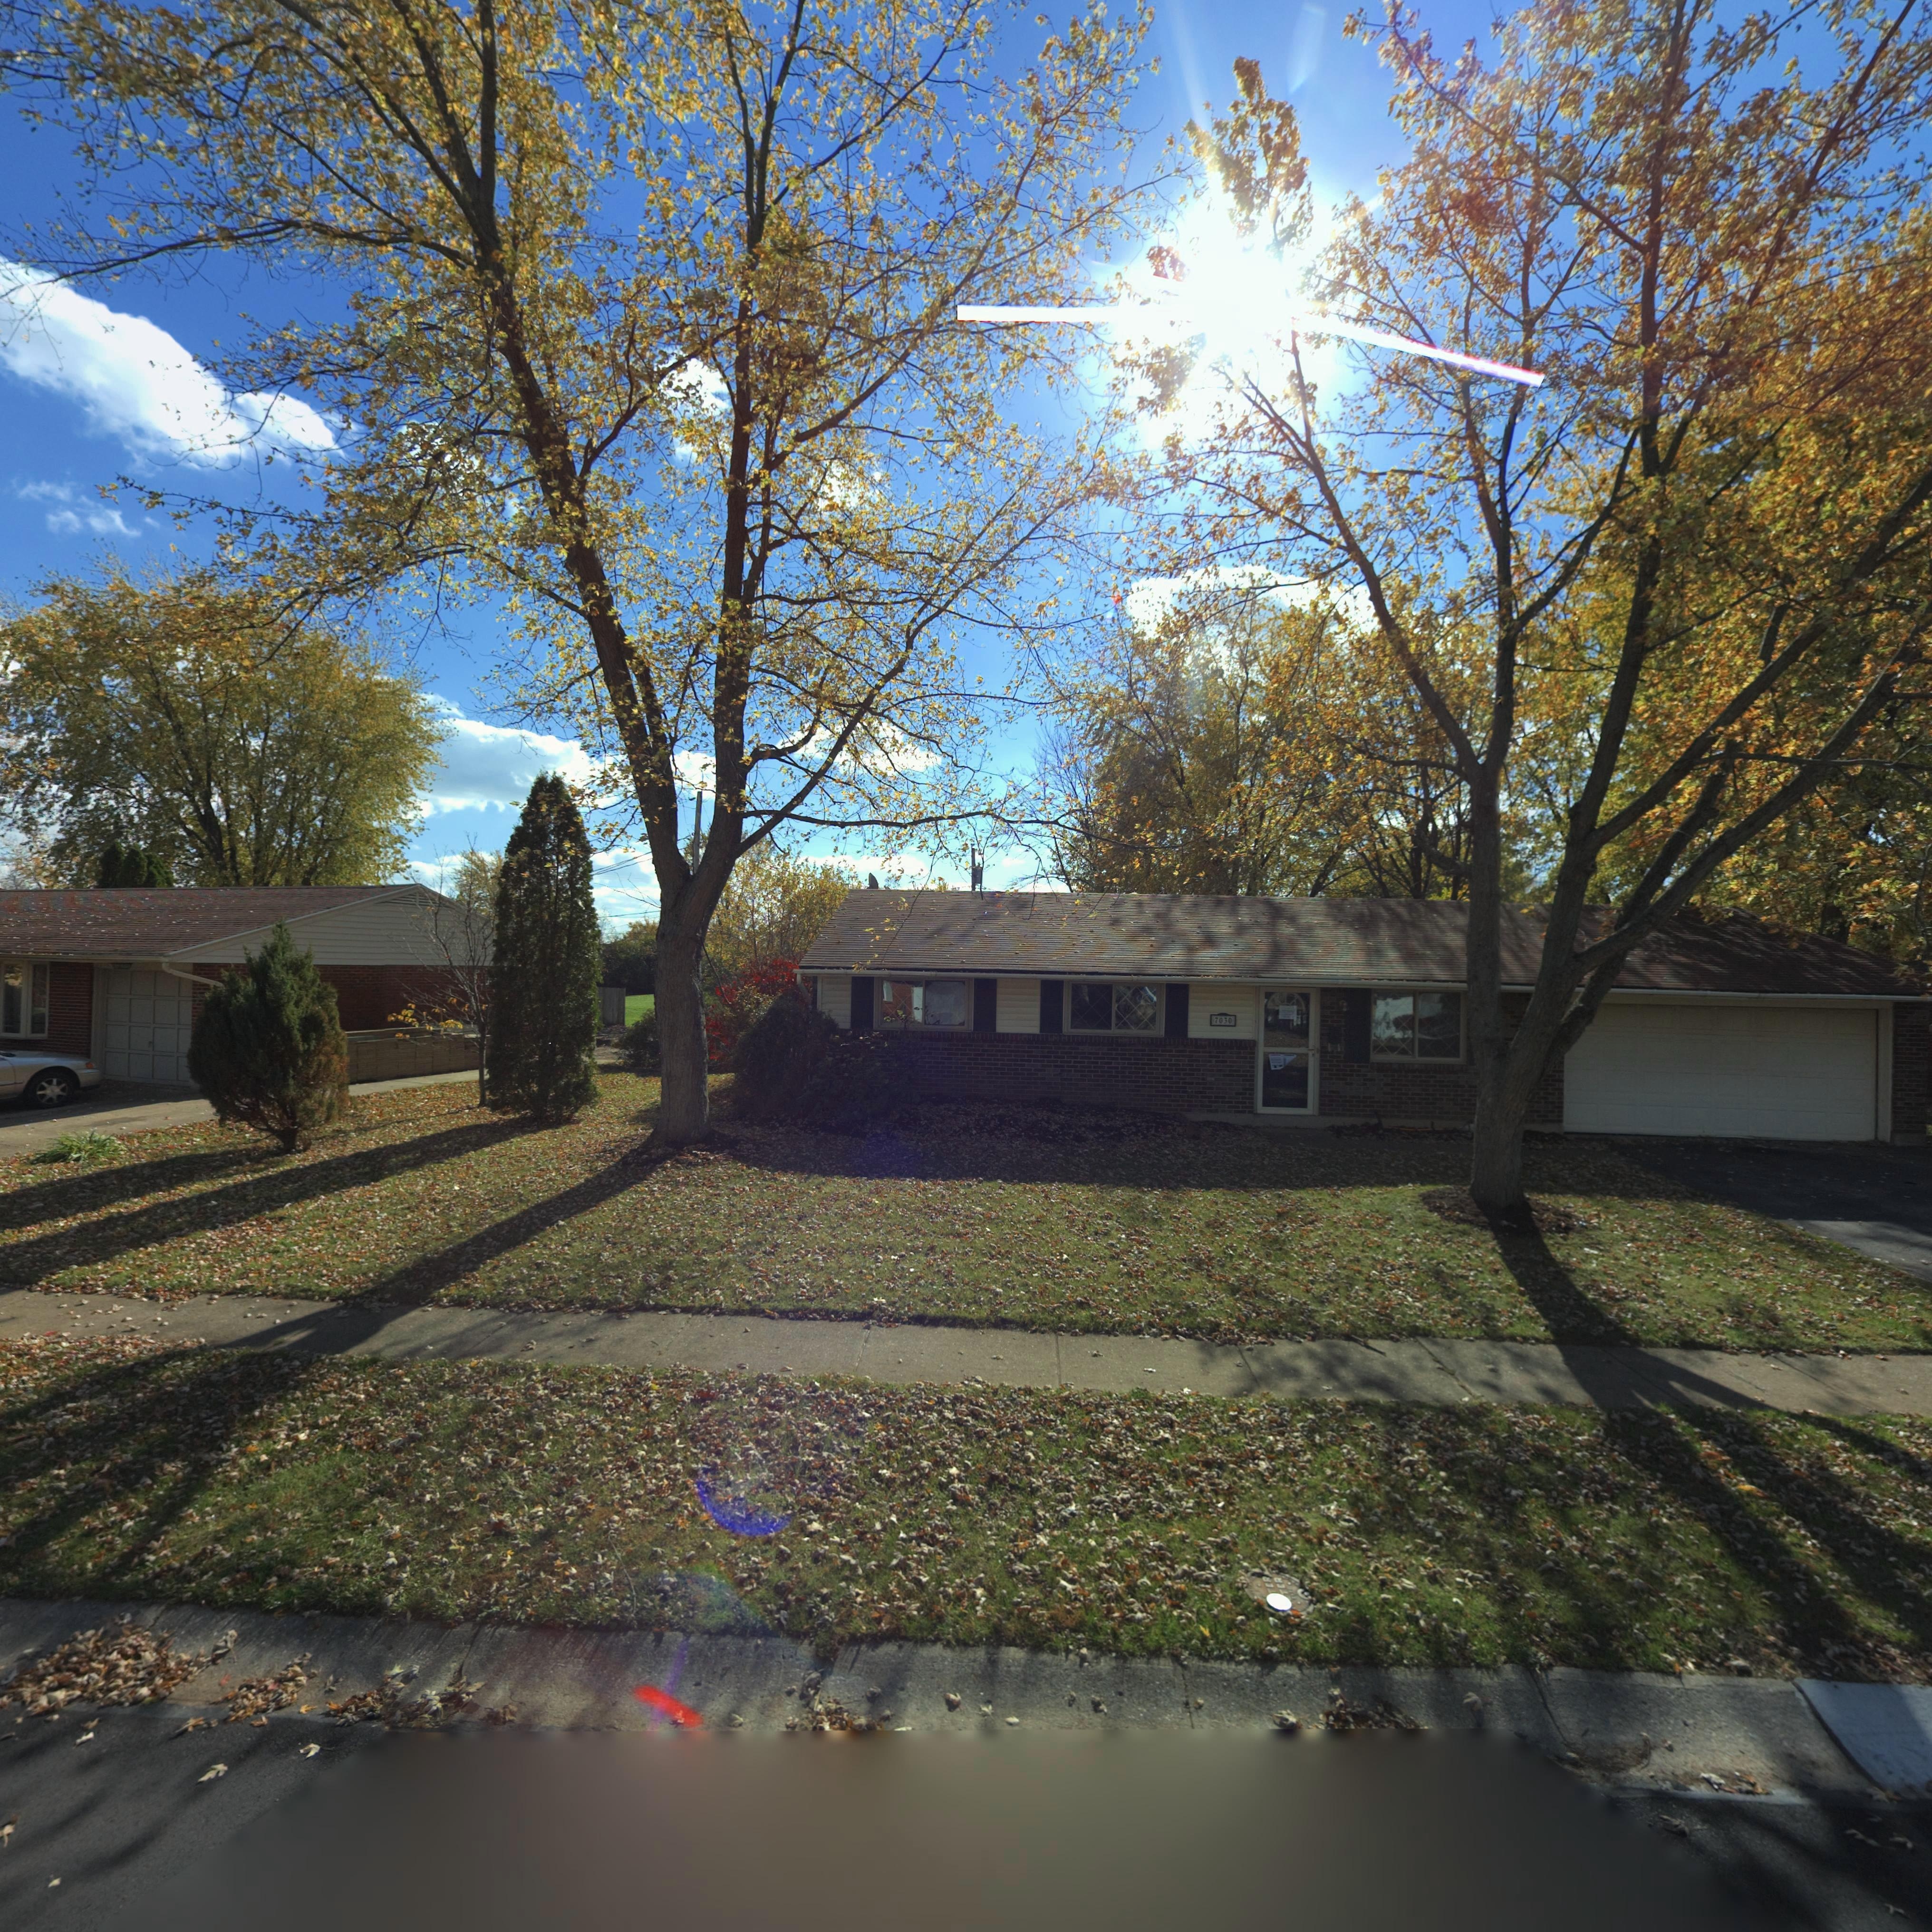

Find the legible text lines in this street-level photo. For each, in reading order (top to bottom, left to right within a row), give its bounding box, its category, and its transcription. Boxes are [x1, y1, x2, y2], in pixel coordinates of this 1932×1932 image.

[1214, 1016, 1233, 1025] StreetNumber: 7030